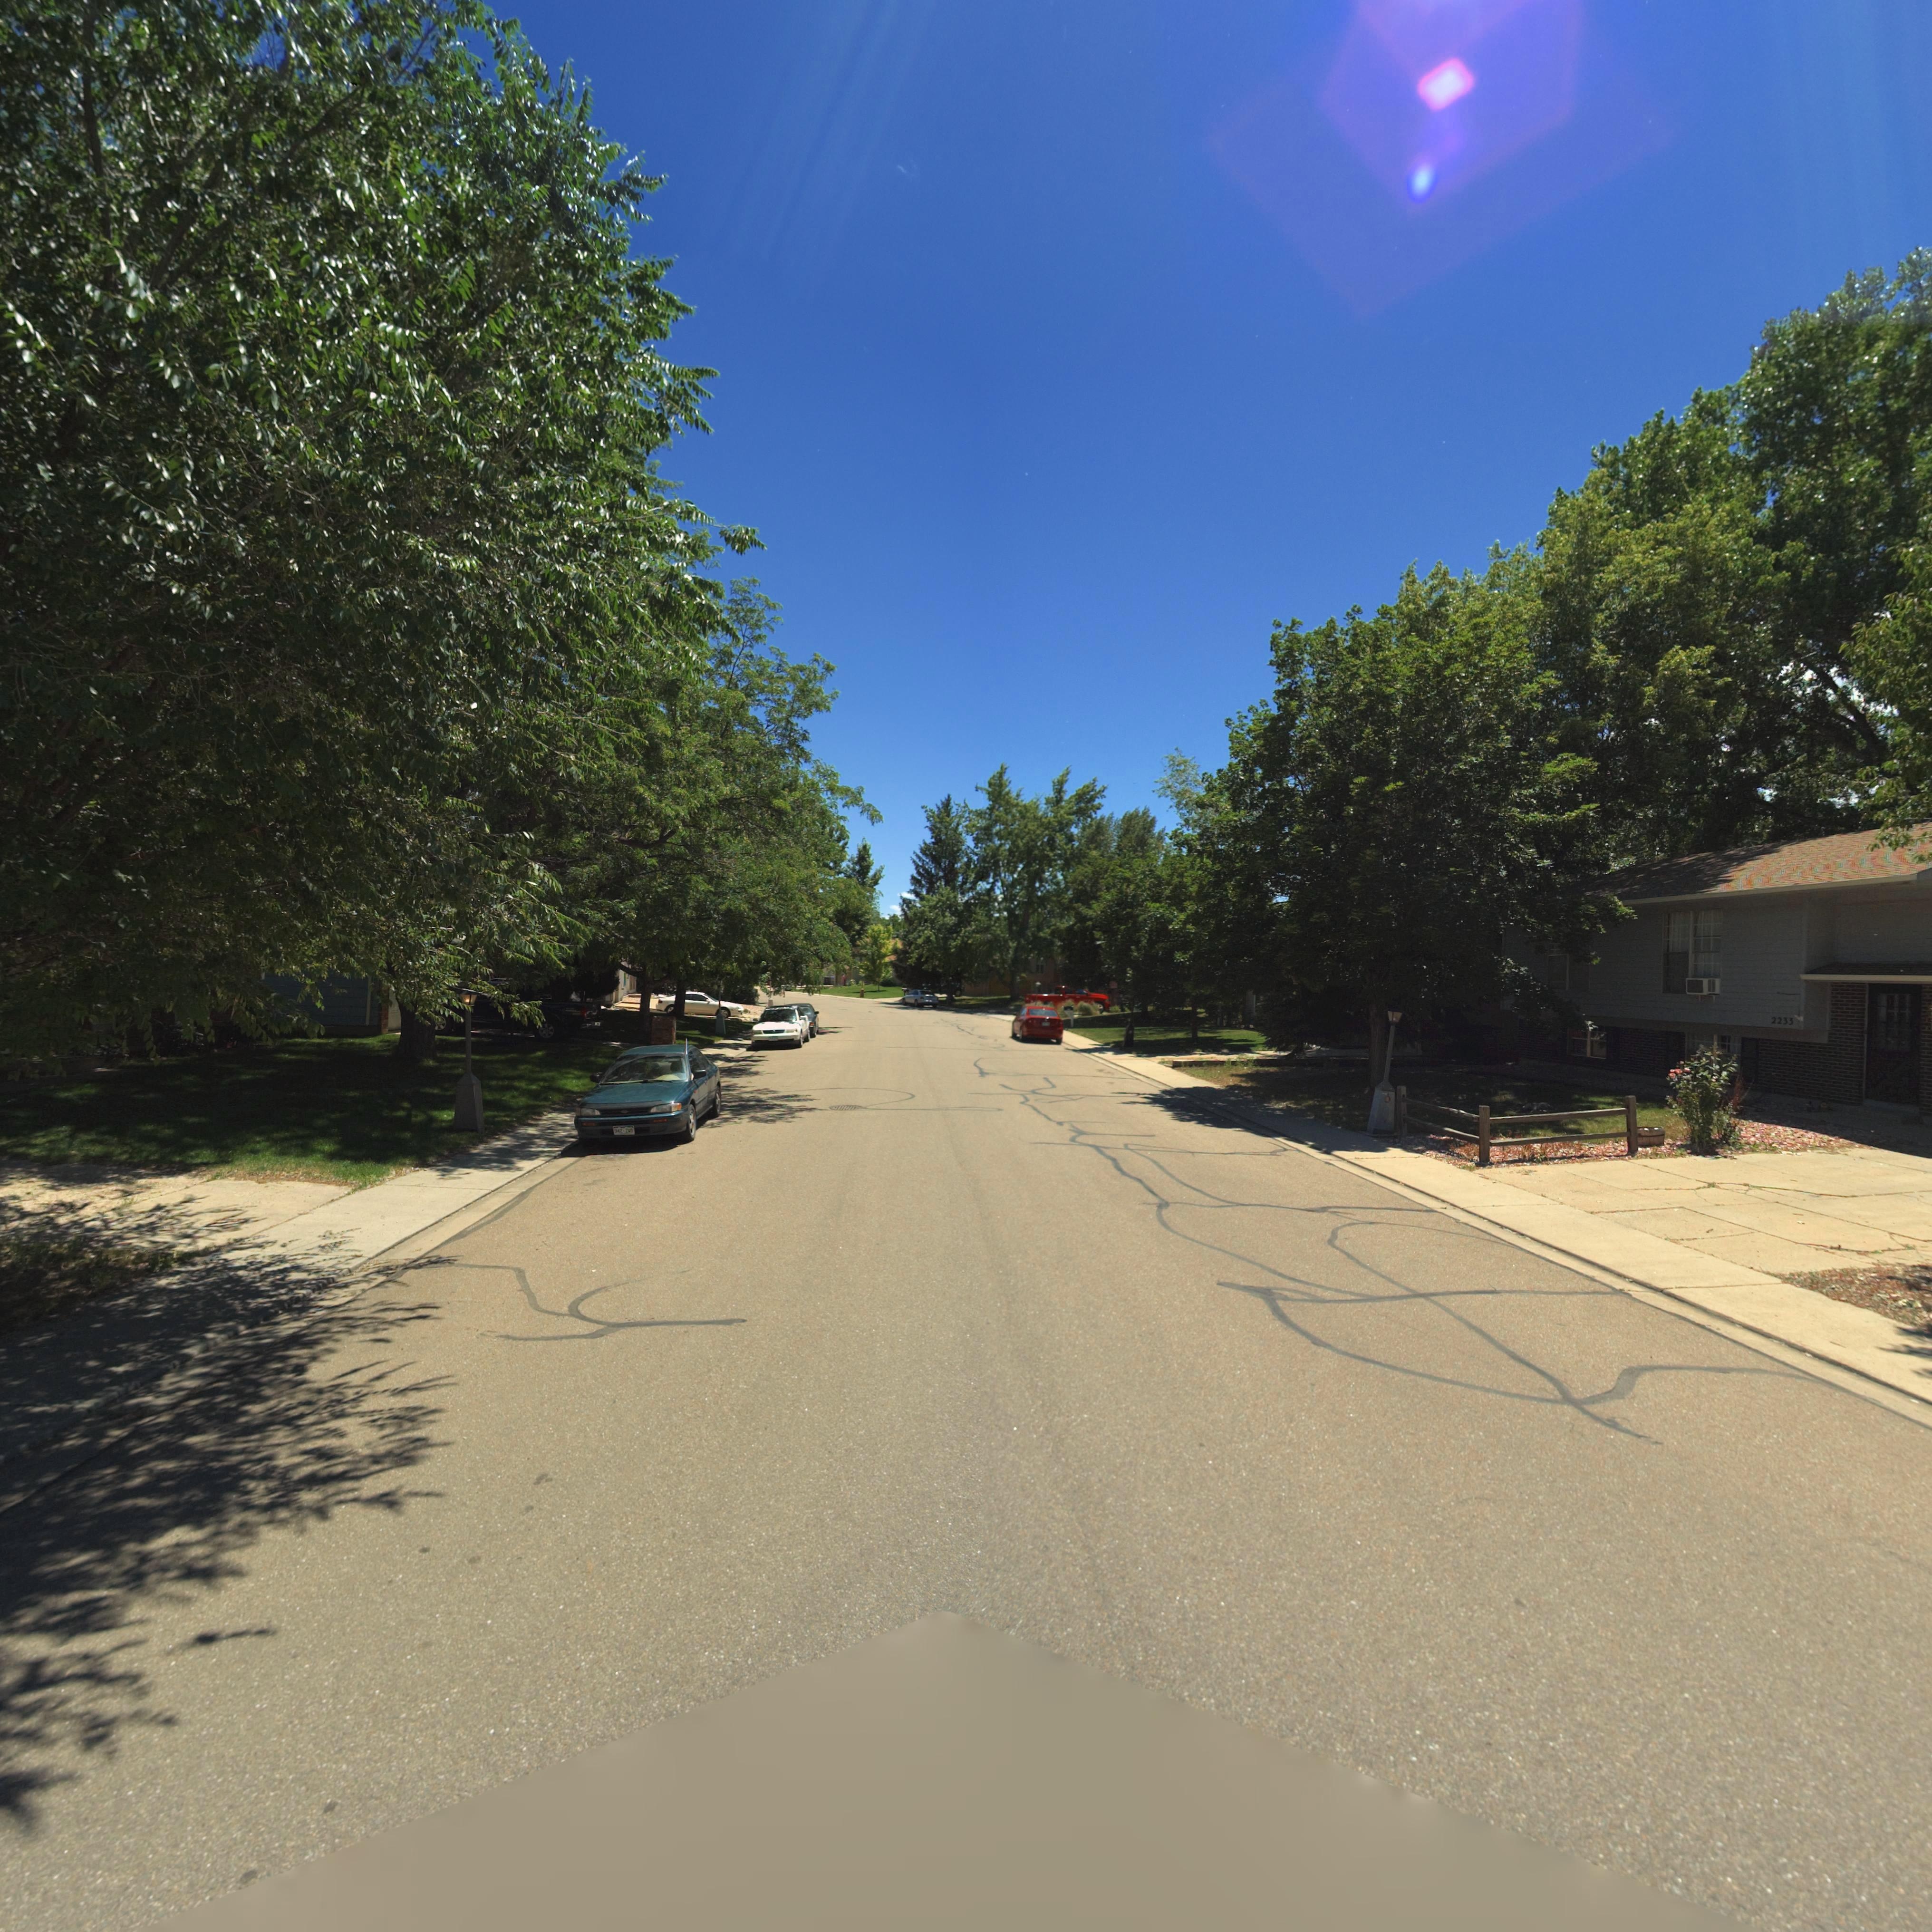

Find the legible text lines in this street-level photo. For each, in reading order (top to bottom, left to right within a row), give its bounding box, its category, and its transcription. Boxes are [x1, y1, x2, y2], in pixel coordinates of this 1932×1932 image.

[1770, 1016, 1794, 1025] StreetNumber: 2233